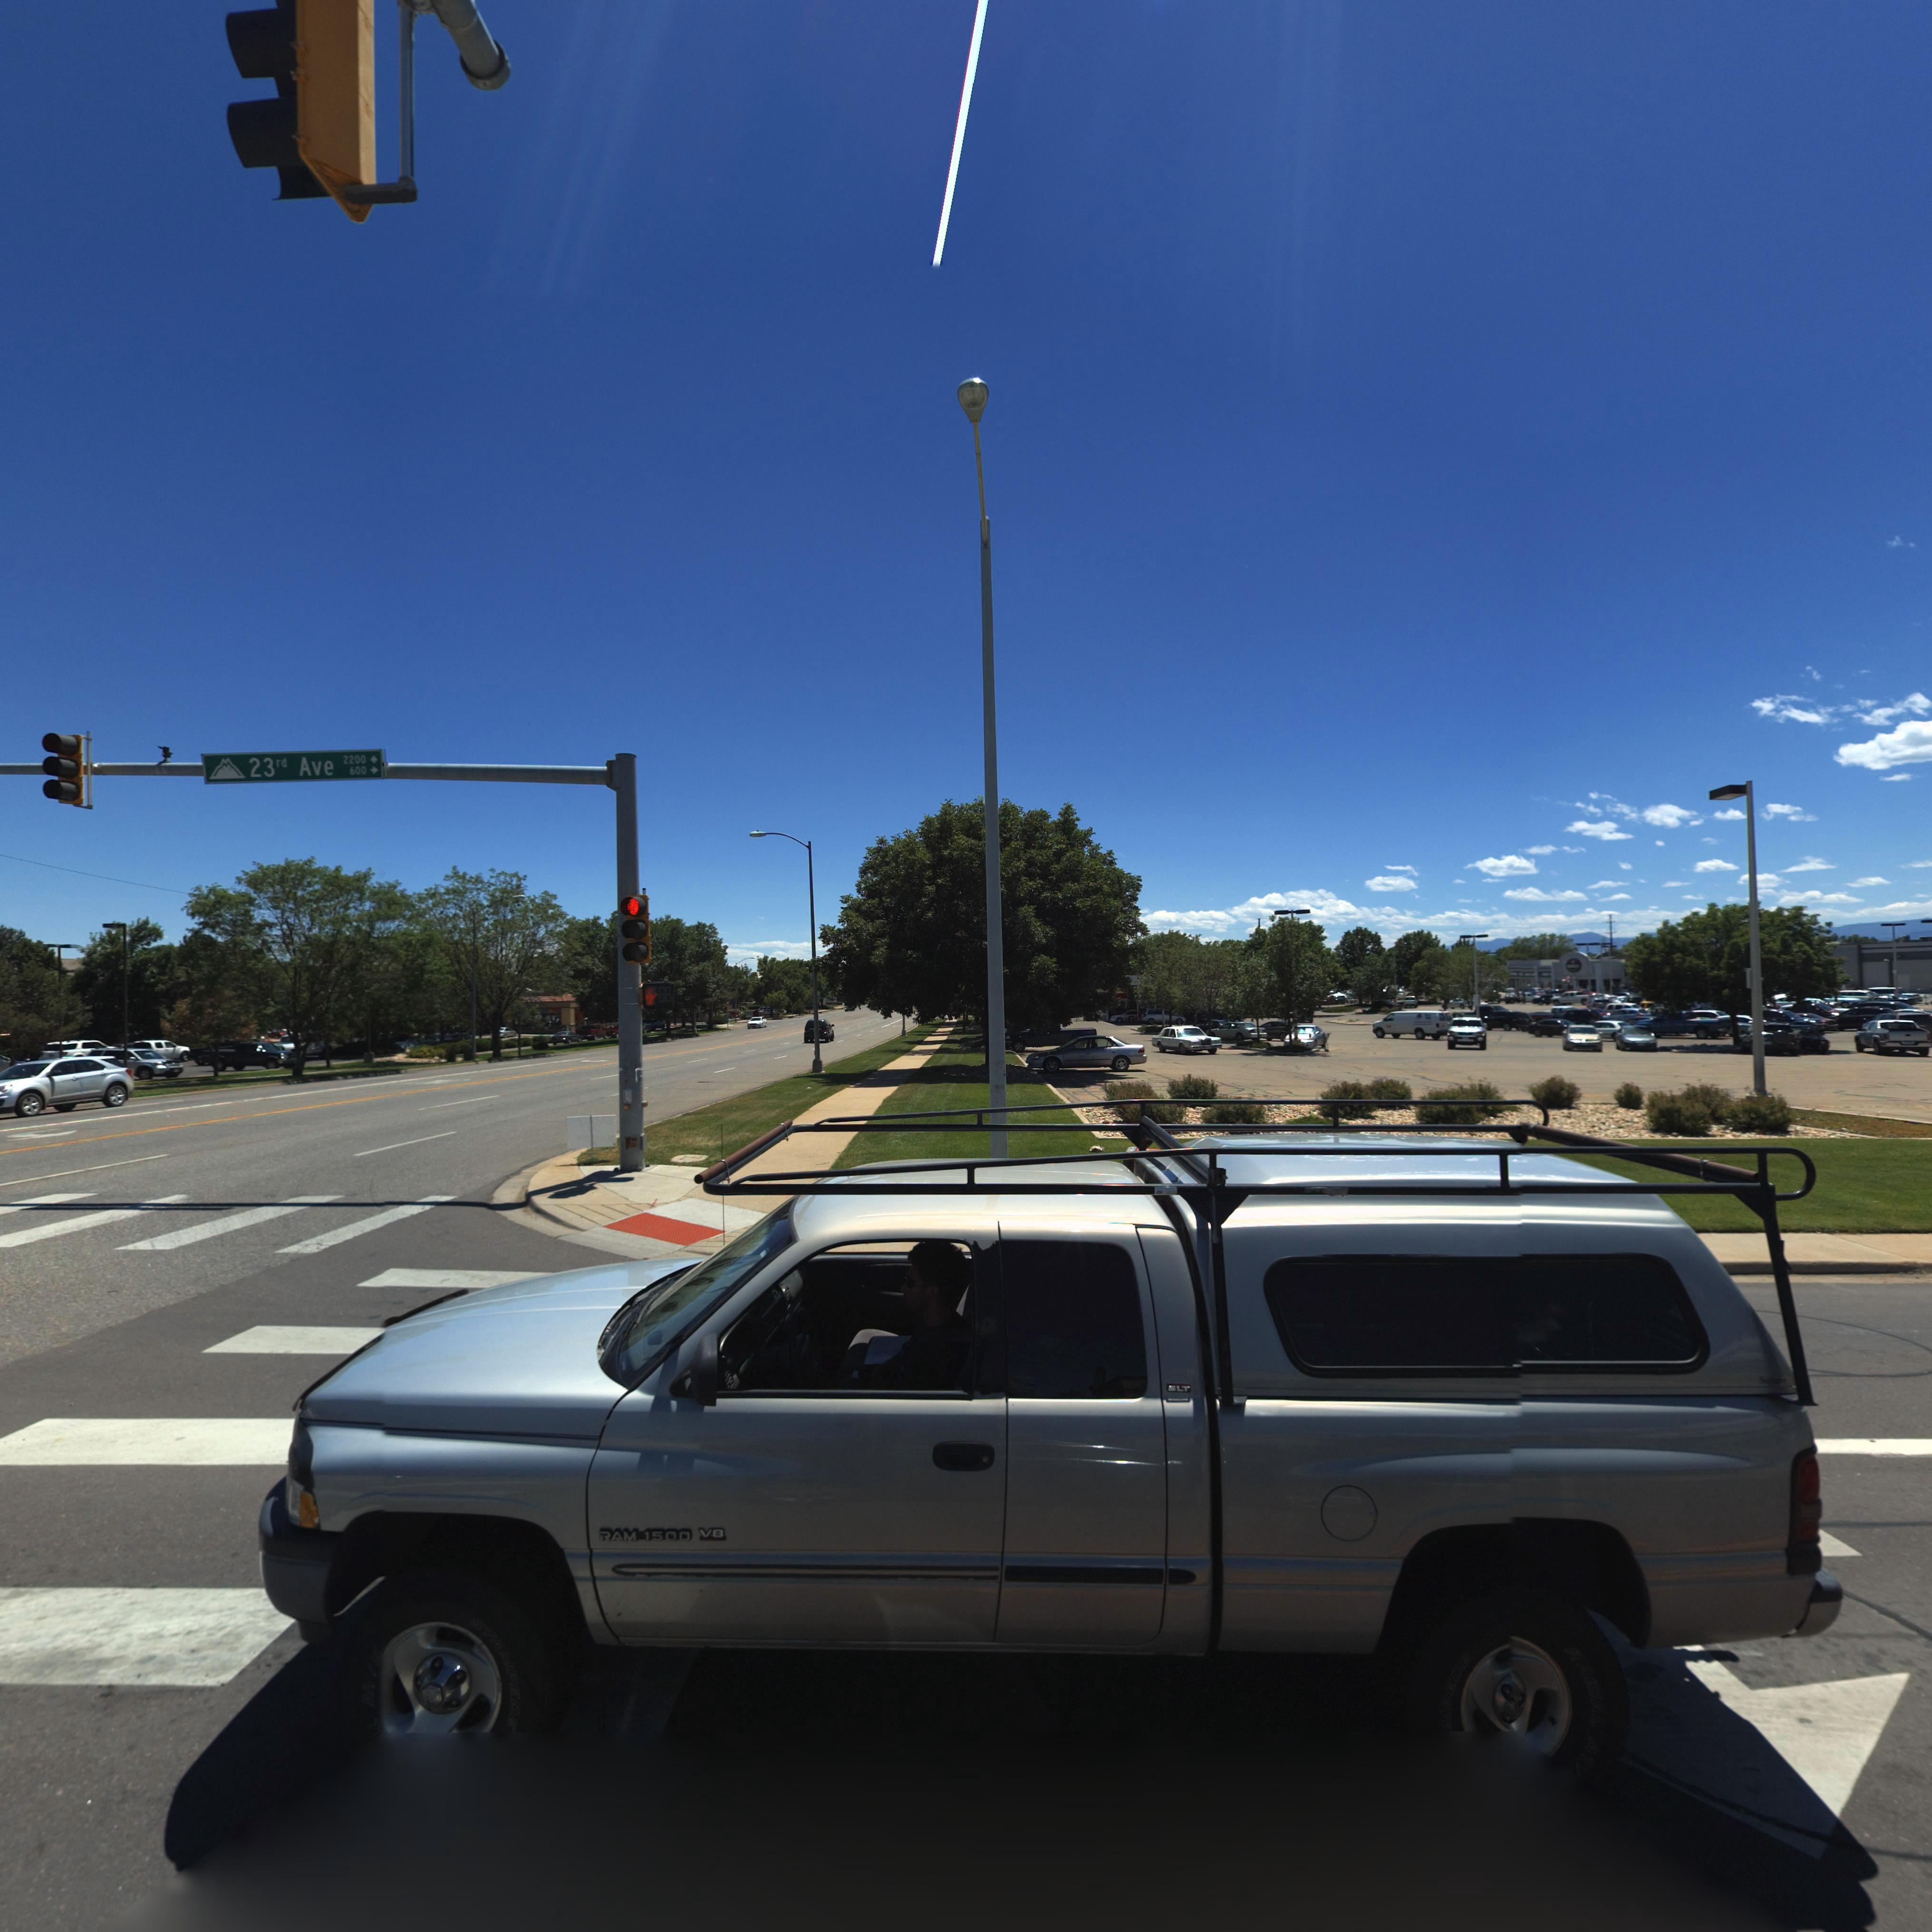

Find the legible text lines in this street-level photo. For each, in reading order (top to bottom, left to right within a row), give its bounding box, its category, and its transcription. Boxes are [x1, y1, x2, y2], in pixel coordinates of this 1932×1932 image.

[342, 754, 367, 764] StreetNumberRange: 2200
[248, 755, 334, 778] StreetName: 23rd Ave
[349, 765, 379, 775] StreetNumberRange: 600->